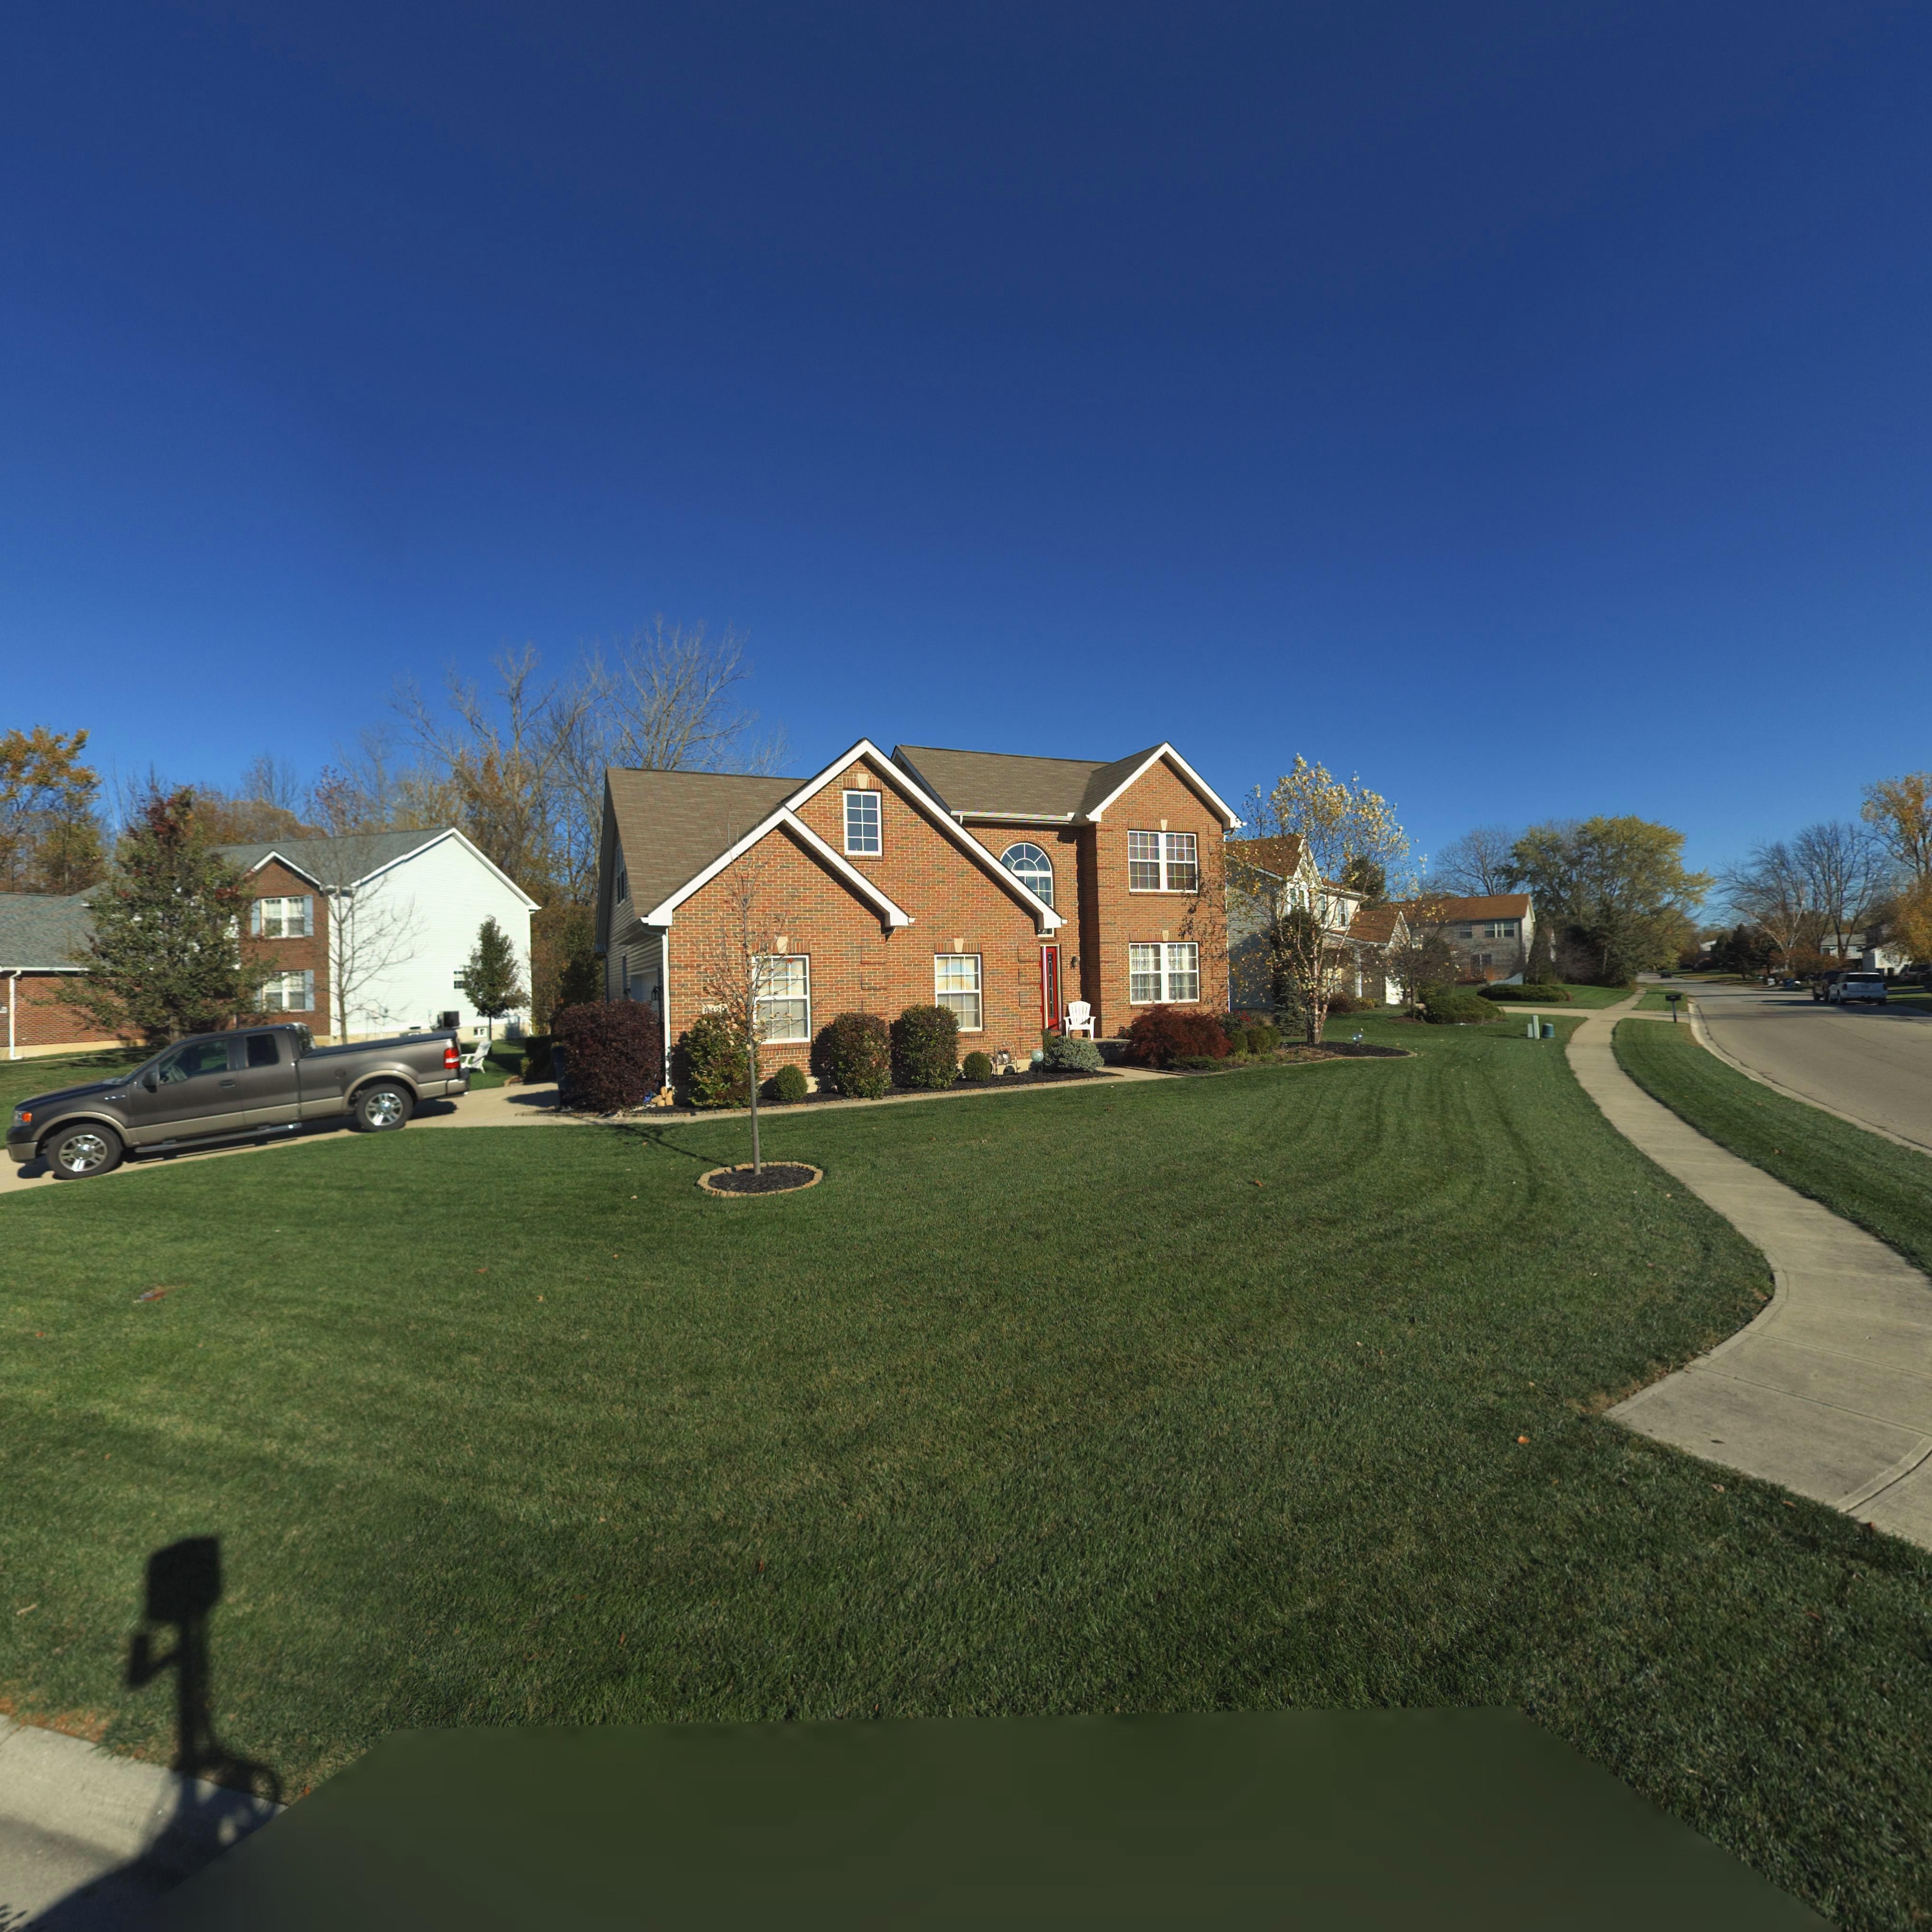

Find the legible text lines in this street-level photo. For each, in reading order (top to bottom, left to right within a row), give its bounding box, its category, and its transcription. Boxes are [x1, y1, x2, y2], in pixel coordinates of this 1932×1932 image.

[708, 1006, 722, 1014] StreetNumber: 42